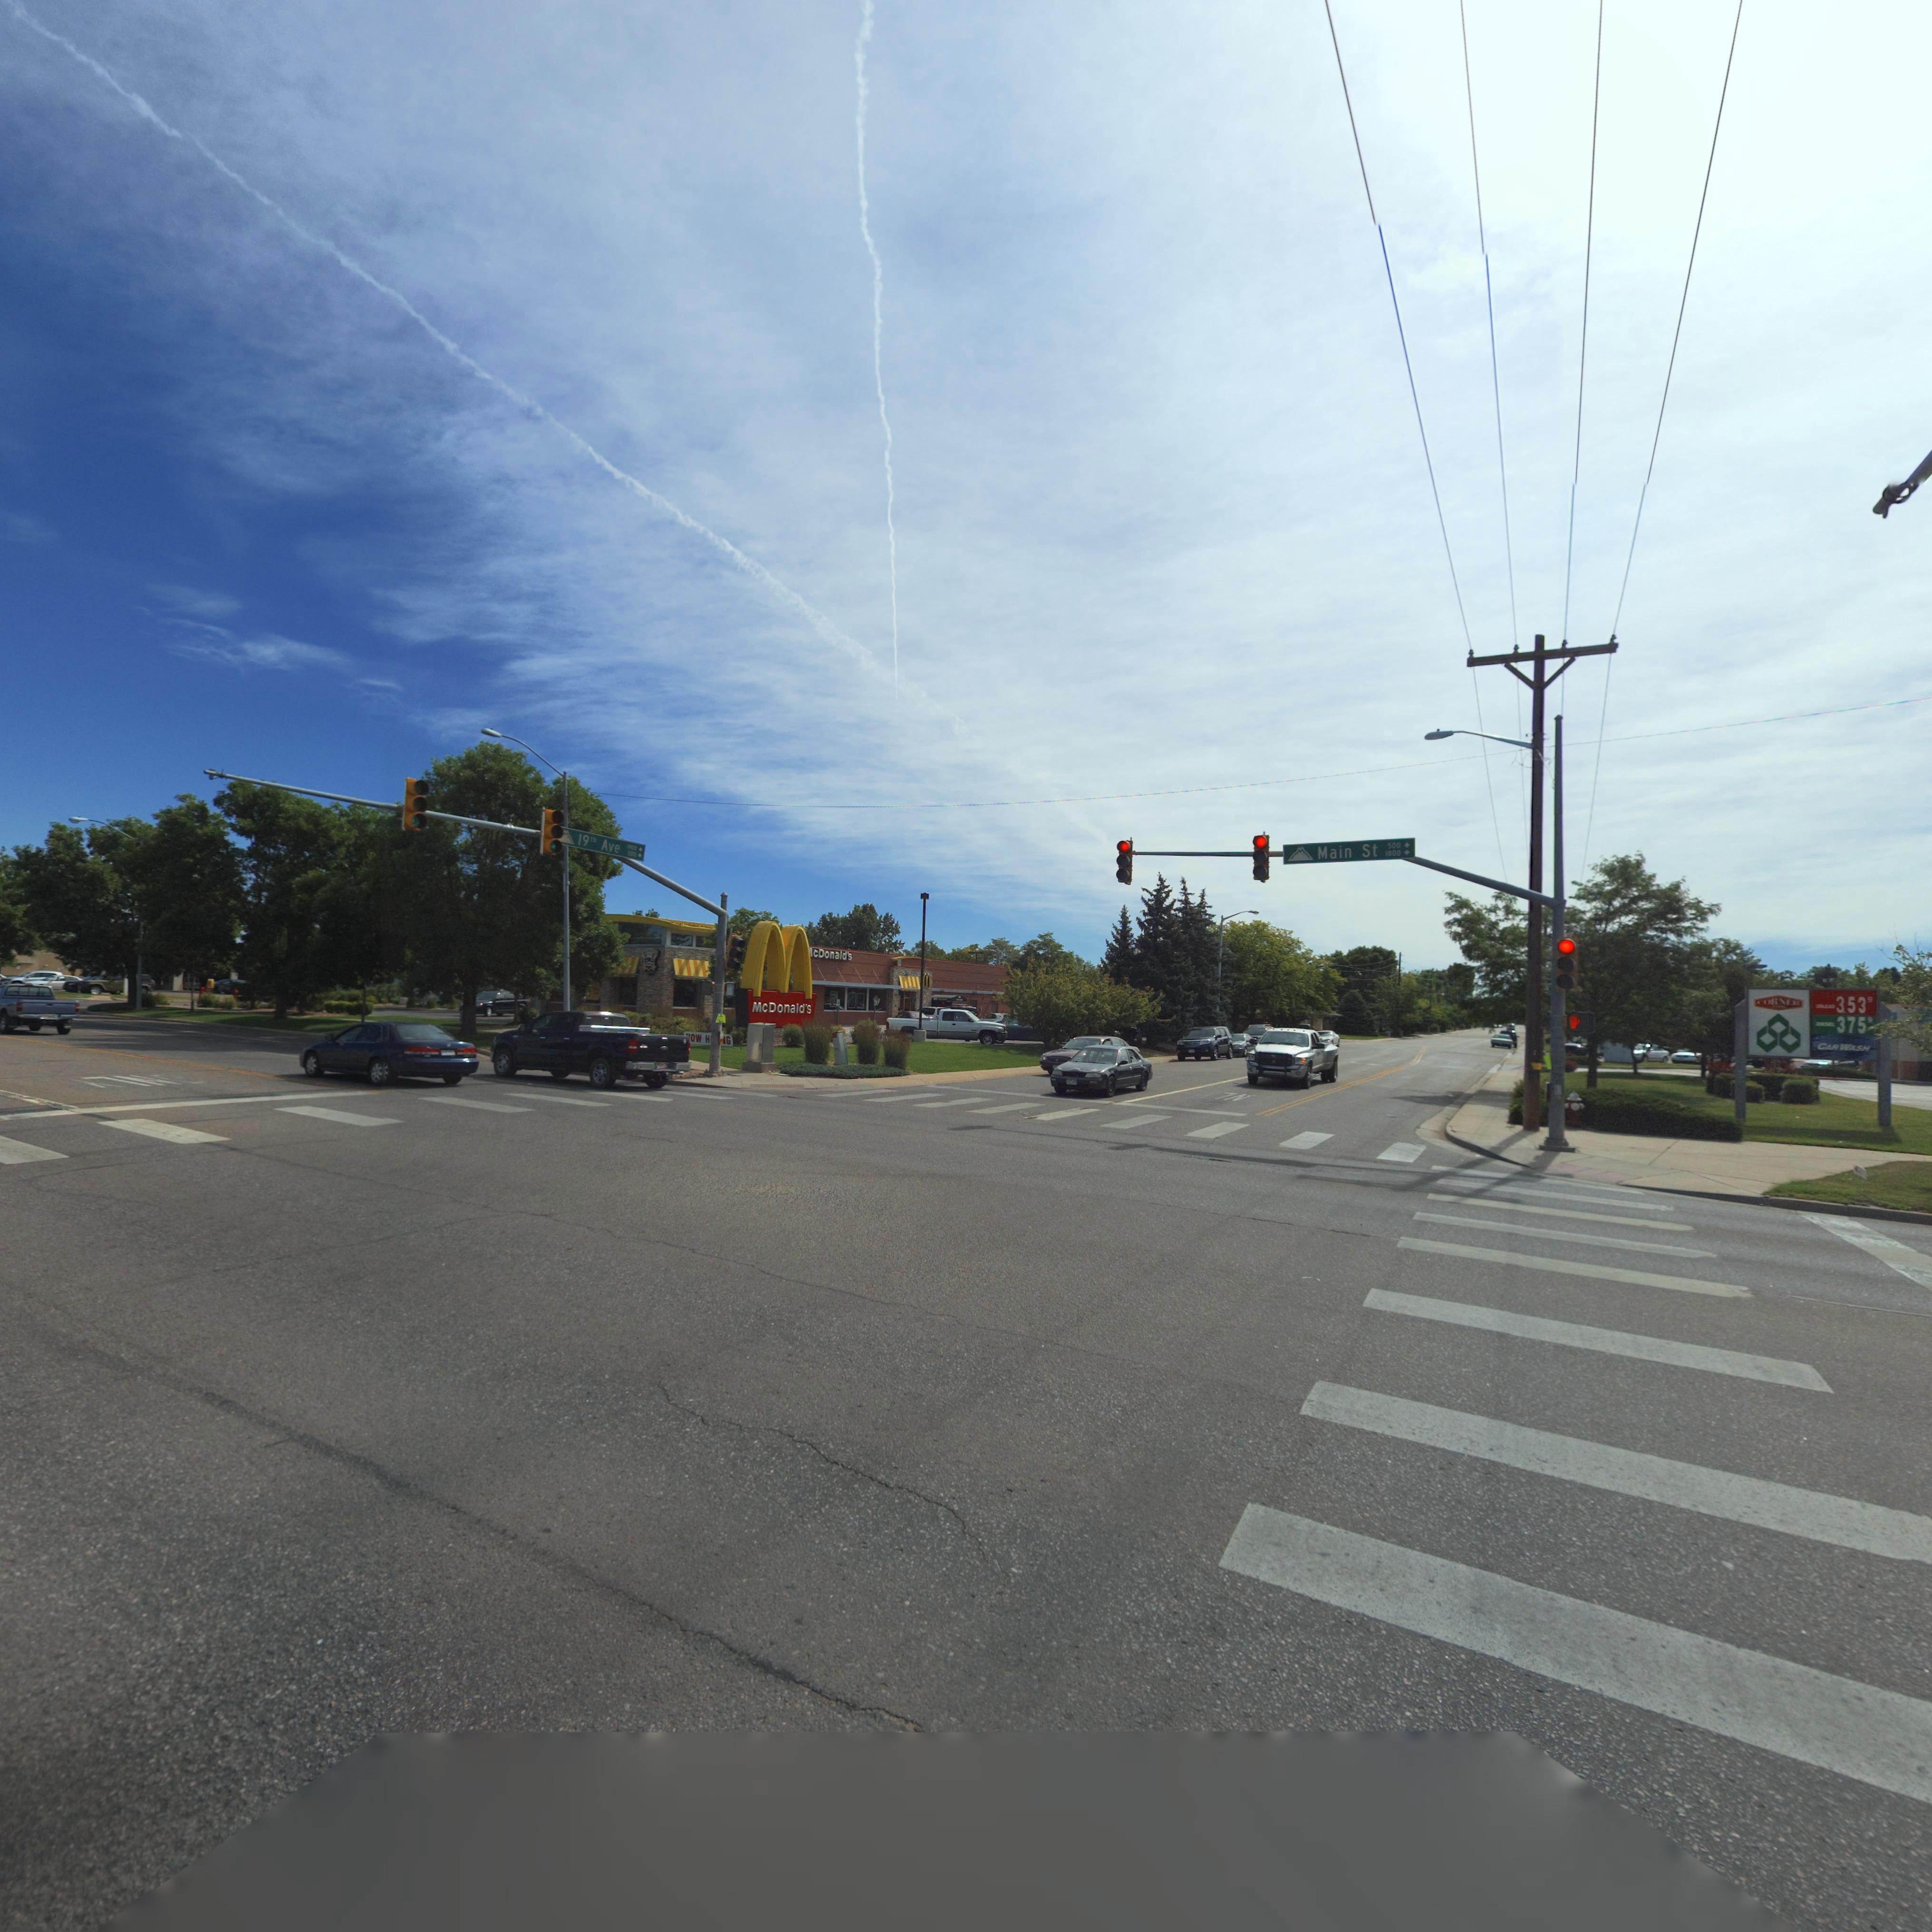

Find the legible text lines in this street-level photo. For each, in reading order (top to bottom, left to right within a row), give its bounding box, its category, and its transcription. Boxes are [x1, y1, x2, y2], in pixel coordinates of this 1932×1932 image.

[577, 833, 620, 854] StreetName: 19th Ave
[627, 843, 637, 850] StreetNumberRange: 1*00
[627, 850, 642, 858] StreetNumberRange: 500->
[1317, 843, 1378, 860] StreetName: Main St
[1387, 842, 1401, 849] StreetNumberRange: 500
[1385, 850, 1410, 856] StreetNumberRange: 1800->
[809, 947, 852, 961] BusinessName: *cDonald's
[1756, 997, 1799, 1005] BusinessName: CORNER
[751, 1001, 811, 1014] BusinessName: McDonald's